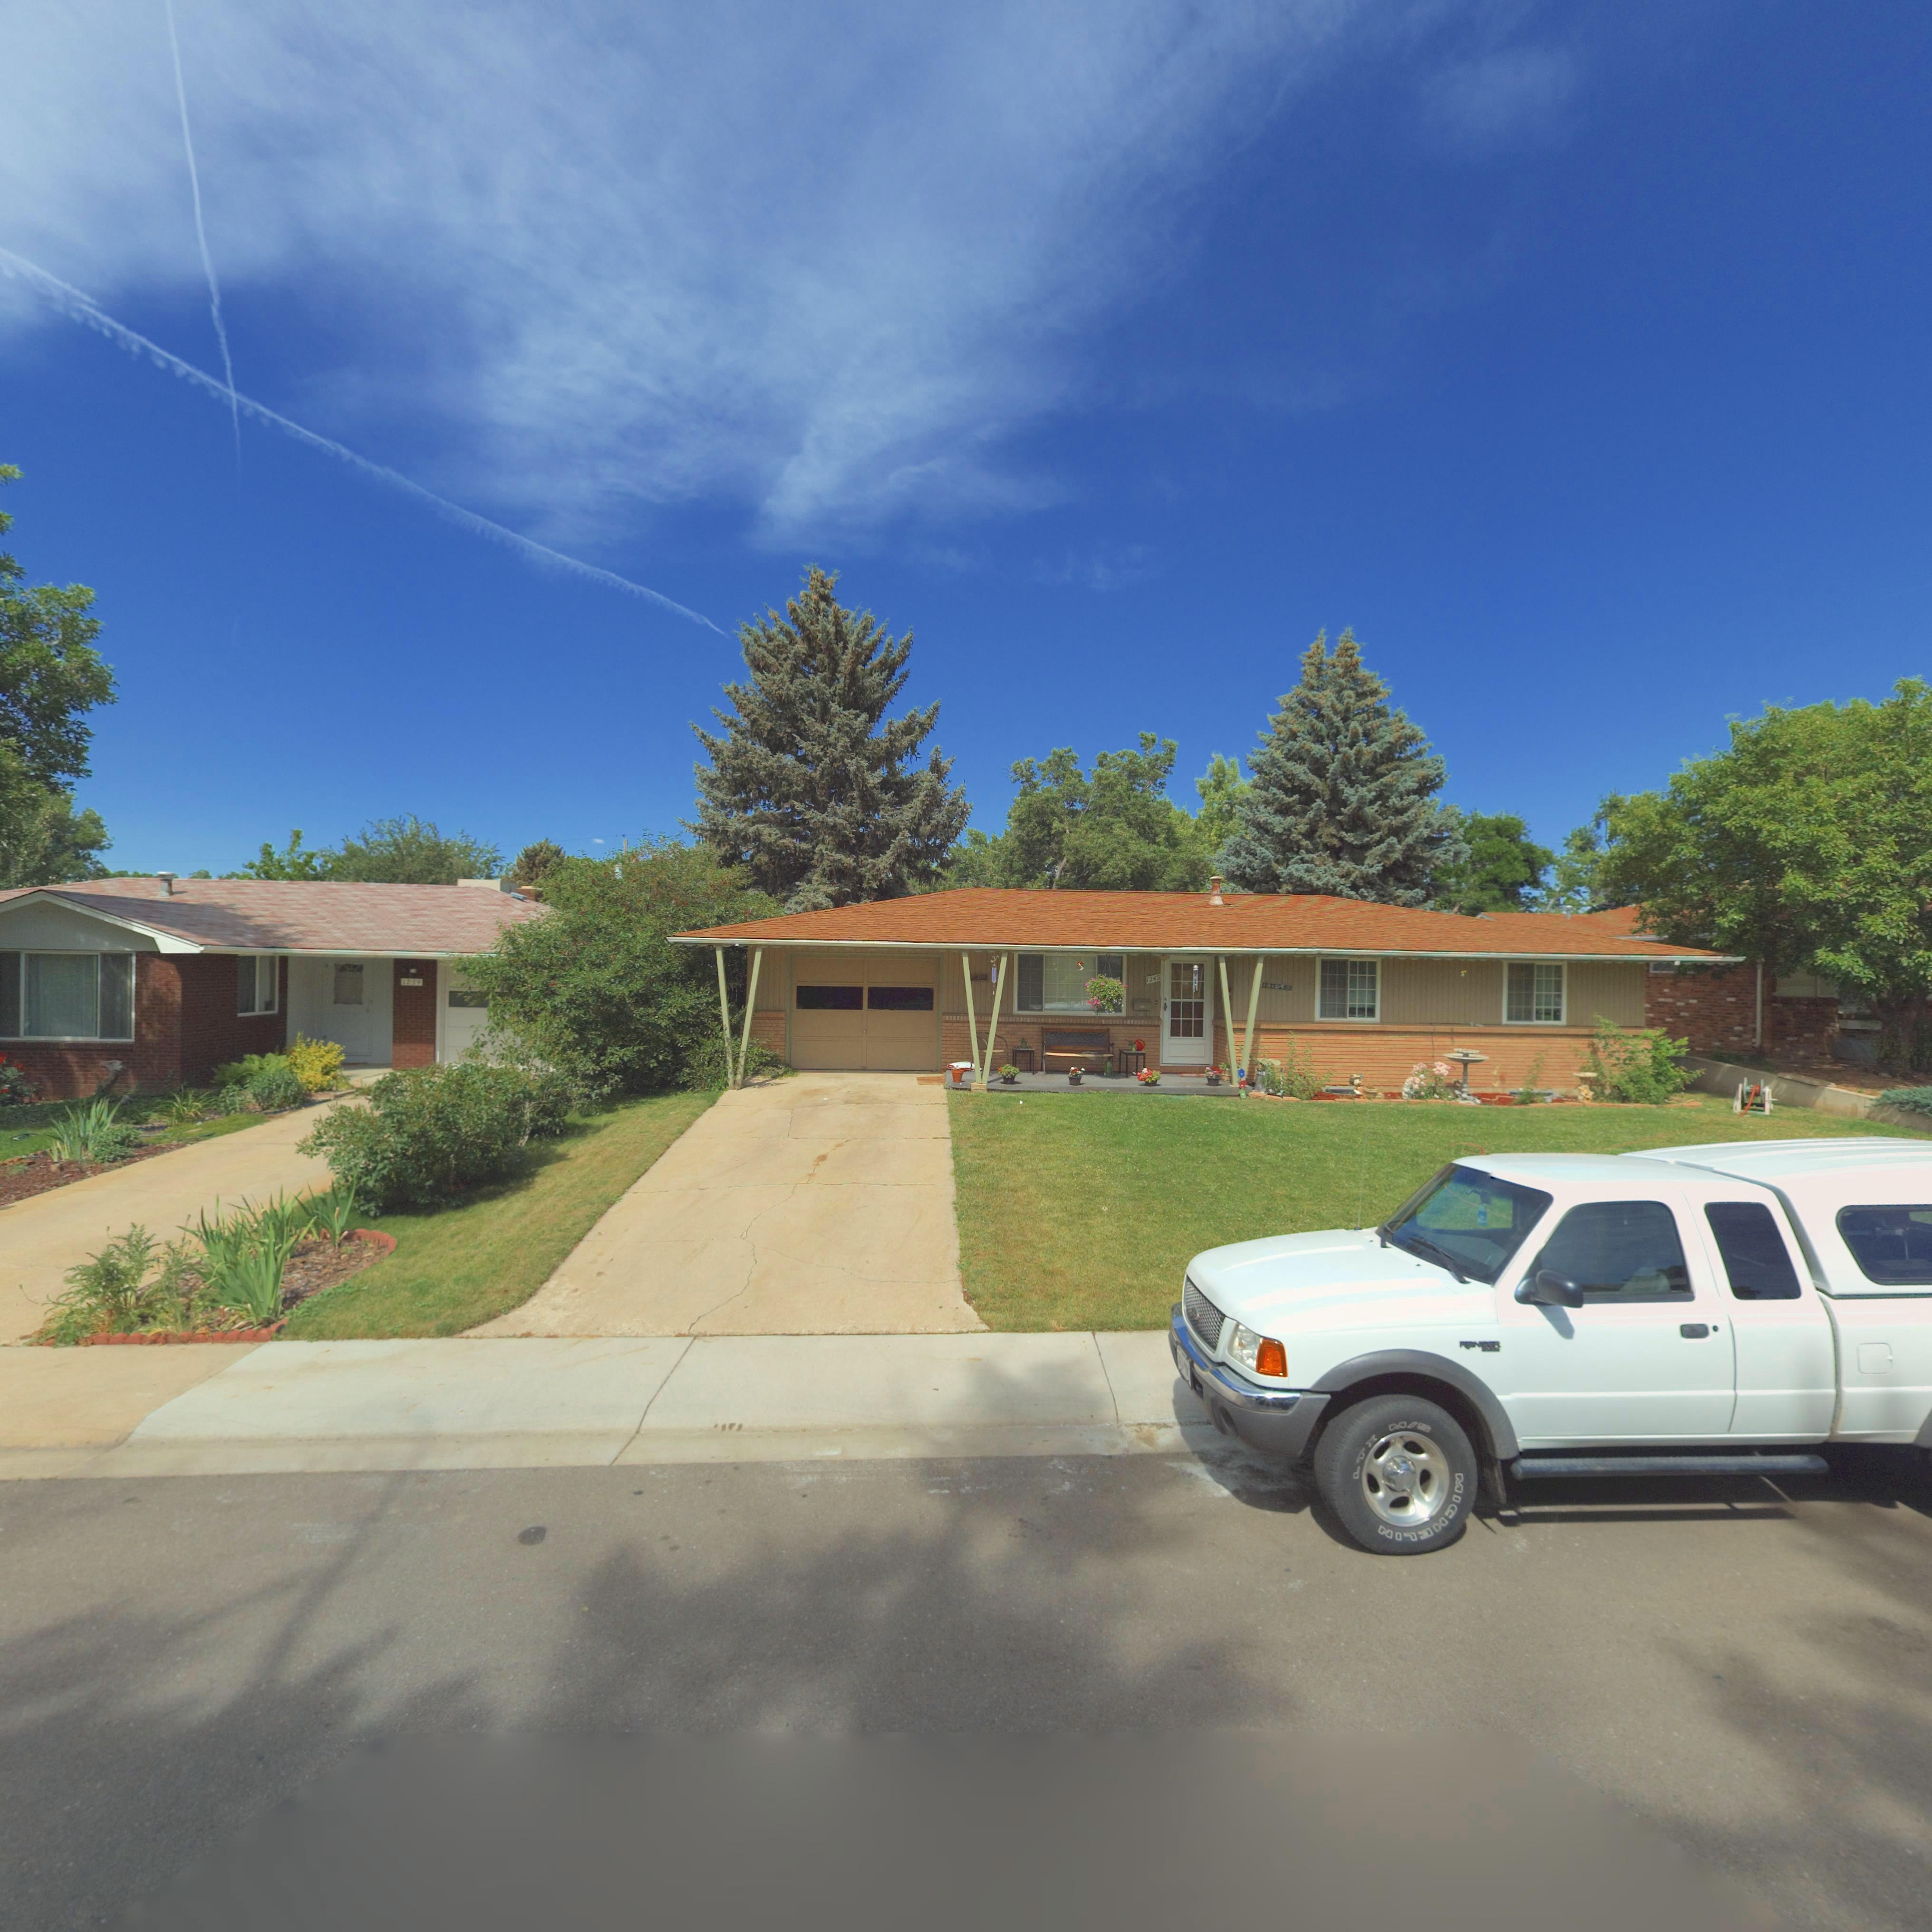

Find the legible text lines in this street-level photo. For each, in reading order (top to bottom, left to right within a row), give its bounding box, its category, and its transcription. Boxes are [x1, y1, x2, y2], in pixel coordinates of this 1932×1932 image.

[402, 978, 421, 985] StreetNumber: 1239
[1146, 974, 1160, 983] StreetNumber: 1245